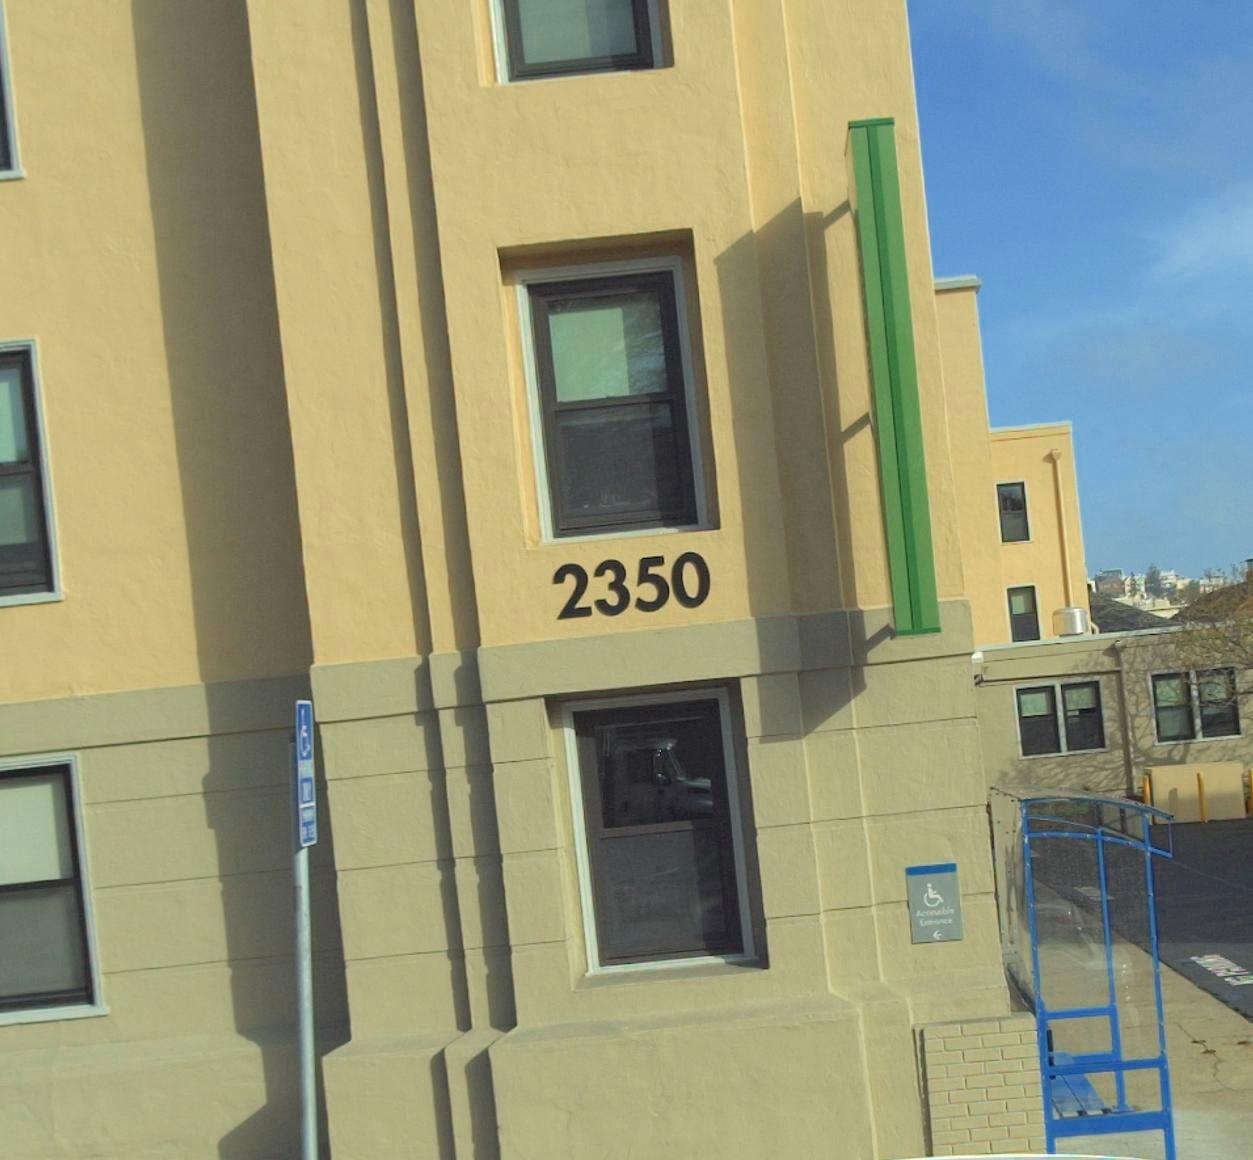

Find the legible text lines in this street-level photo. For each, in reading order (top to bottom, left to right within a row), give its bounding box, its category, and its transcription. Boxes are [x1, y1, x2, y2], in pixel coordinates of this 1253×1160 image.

[552, 550, 713, 622] StreetNumber: 2350